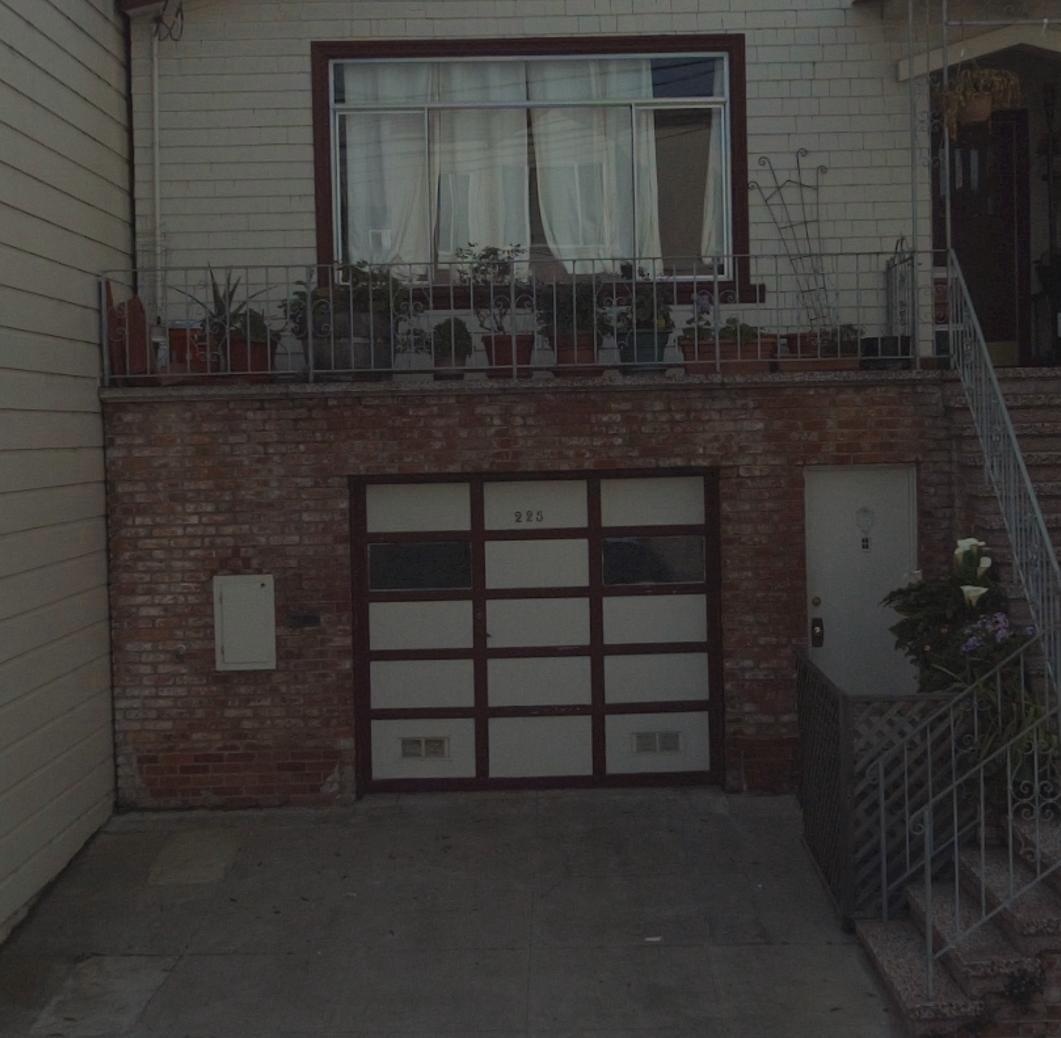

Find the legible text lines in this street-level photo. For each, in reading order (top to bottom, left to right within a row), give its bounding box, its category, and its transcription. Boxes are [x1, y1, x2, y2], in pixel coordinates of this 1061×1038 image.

[512, 509, 545, 524] StreetNumber: 225